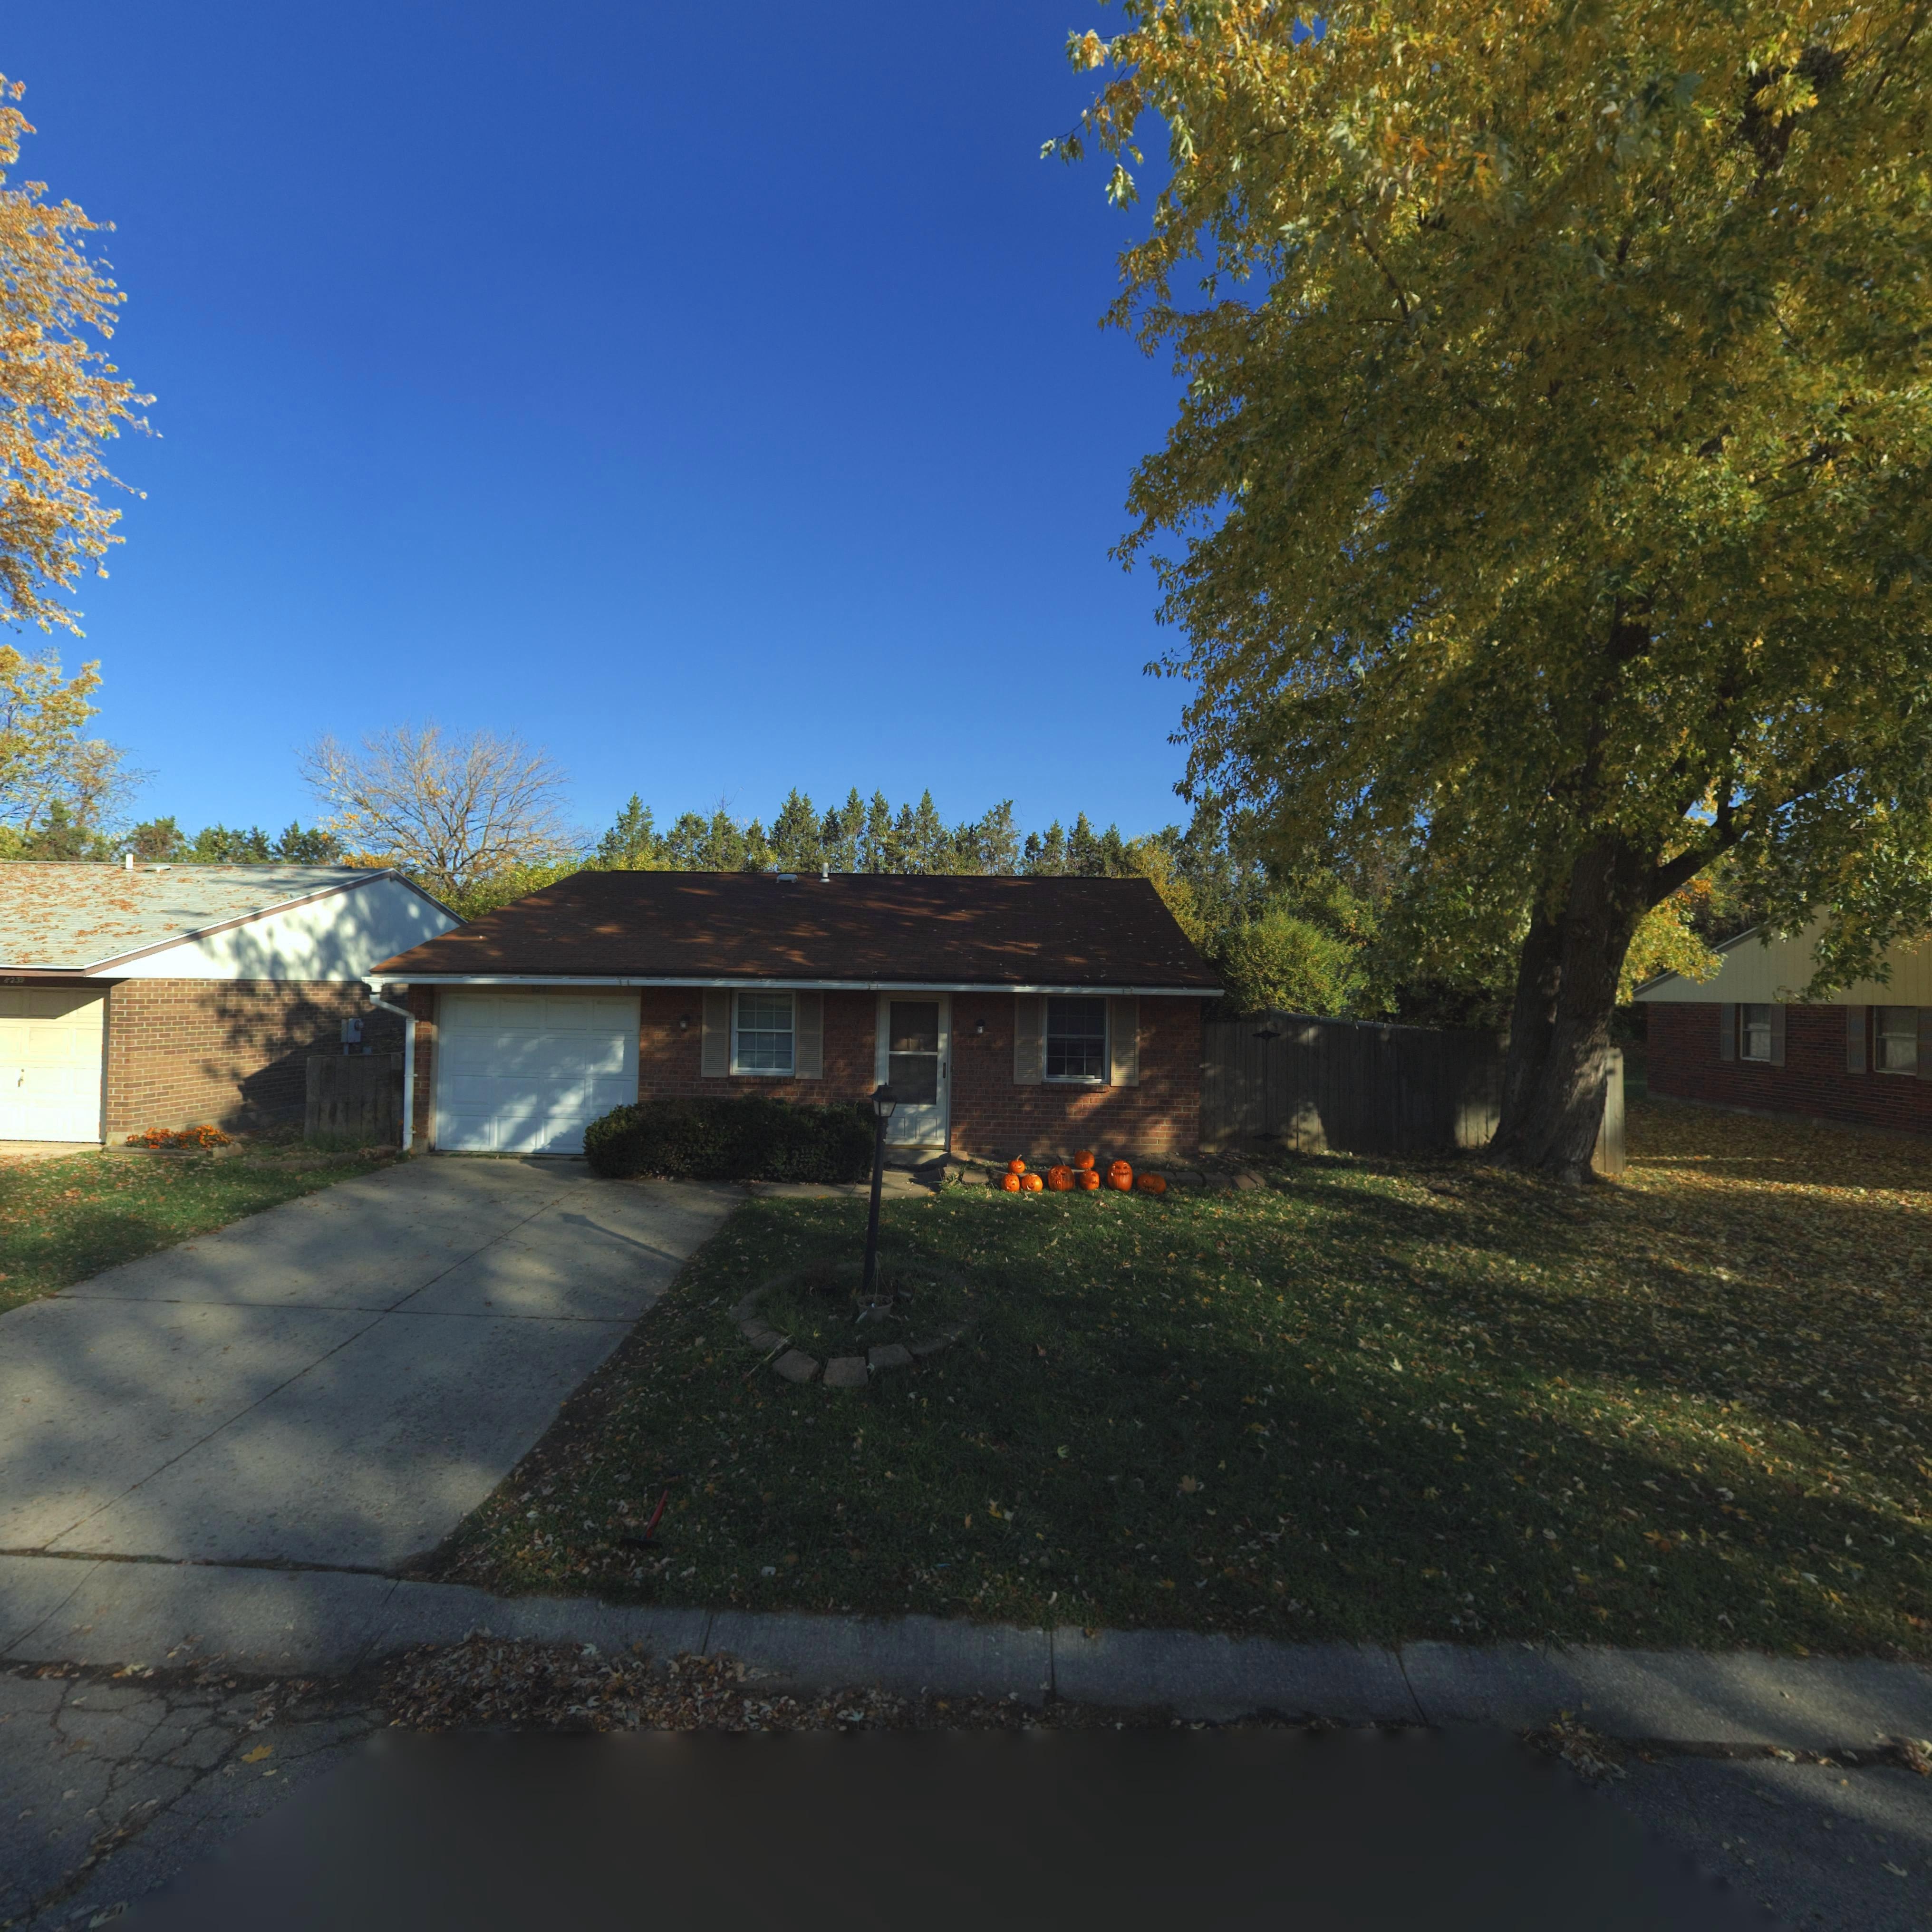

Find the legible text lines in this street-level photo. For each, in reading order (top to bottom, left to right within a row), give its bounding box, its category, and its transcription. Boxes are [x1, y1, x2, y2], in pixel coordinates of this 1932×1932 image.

[2, 976, 26, 984] StreetNumber: 8239
[529, 984, 552, 994] StreetNumber: *247